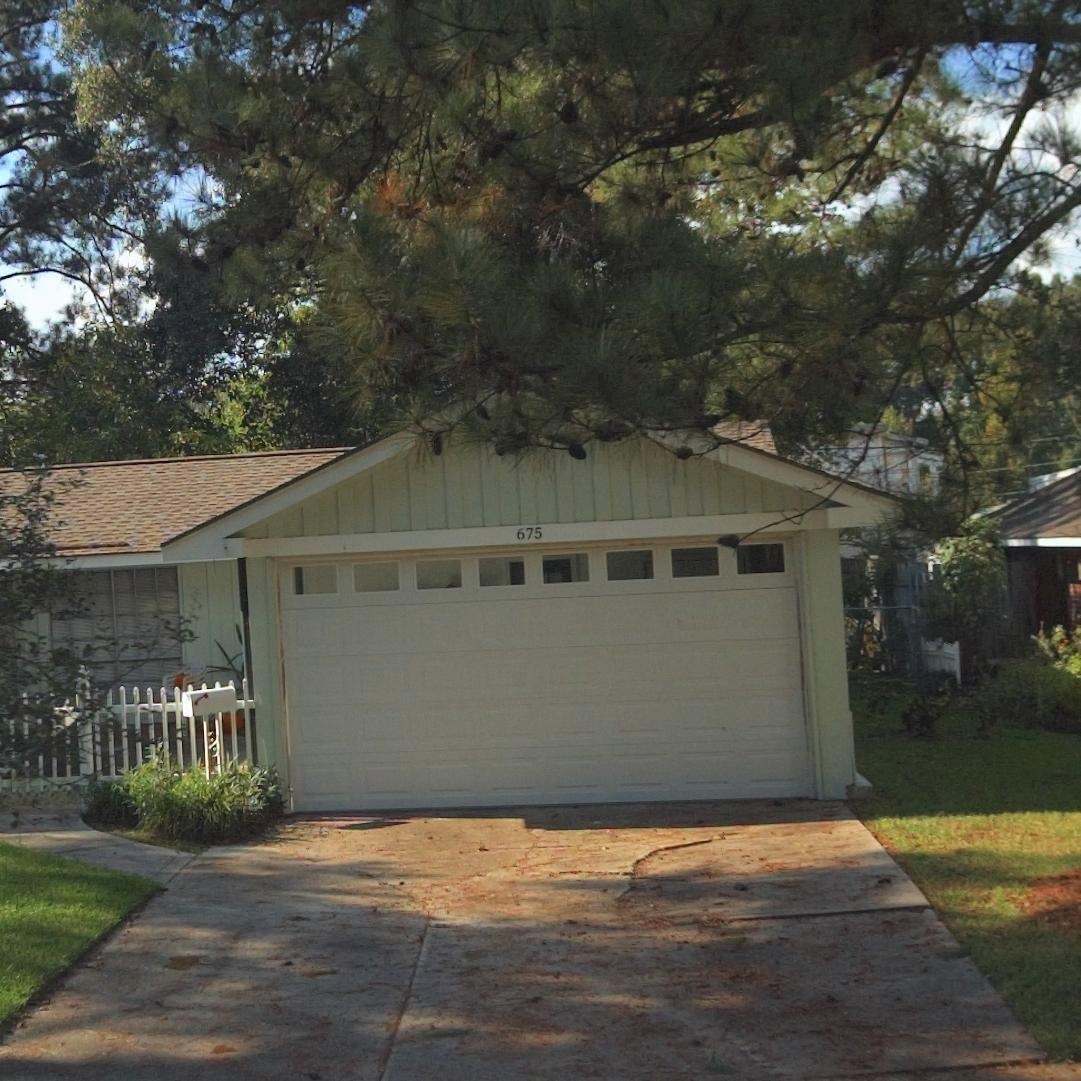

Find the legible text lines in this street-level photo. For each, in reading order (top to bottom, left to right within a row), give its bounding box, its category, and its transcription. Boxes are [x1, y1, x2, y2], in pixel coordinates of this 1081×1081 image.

[516, 527, 543, 540] StreetNumber: 675